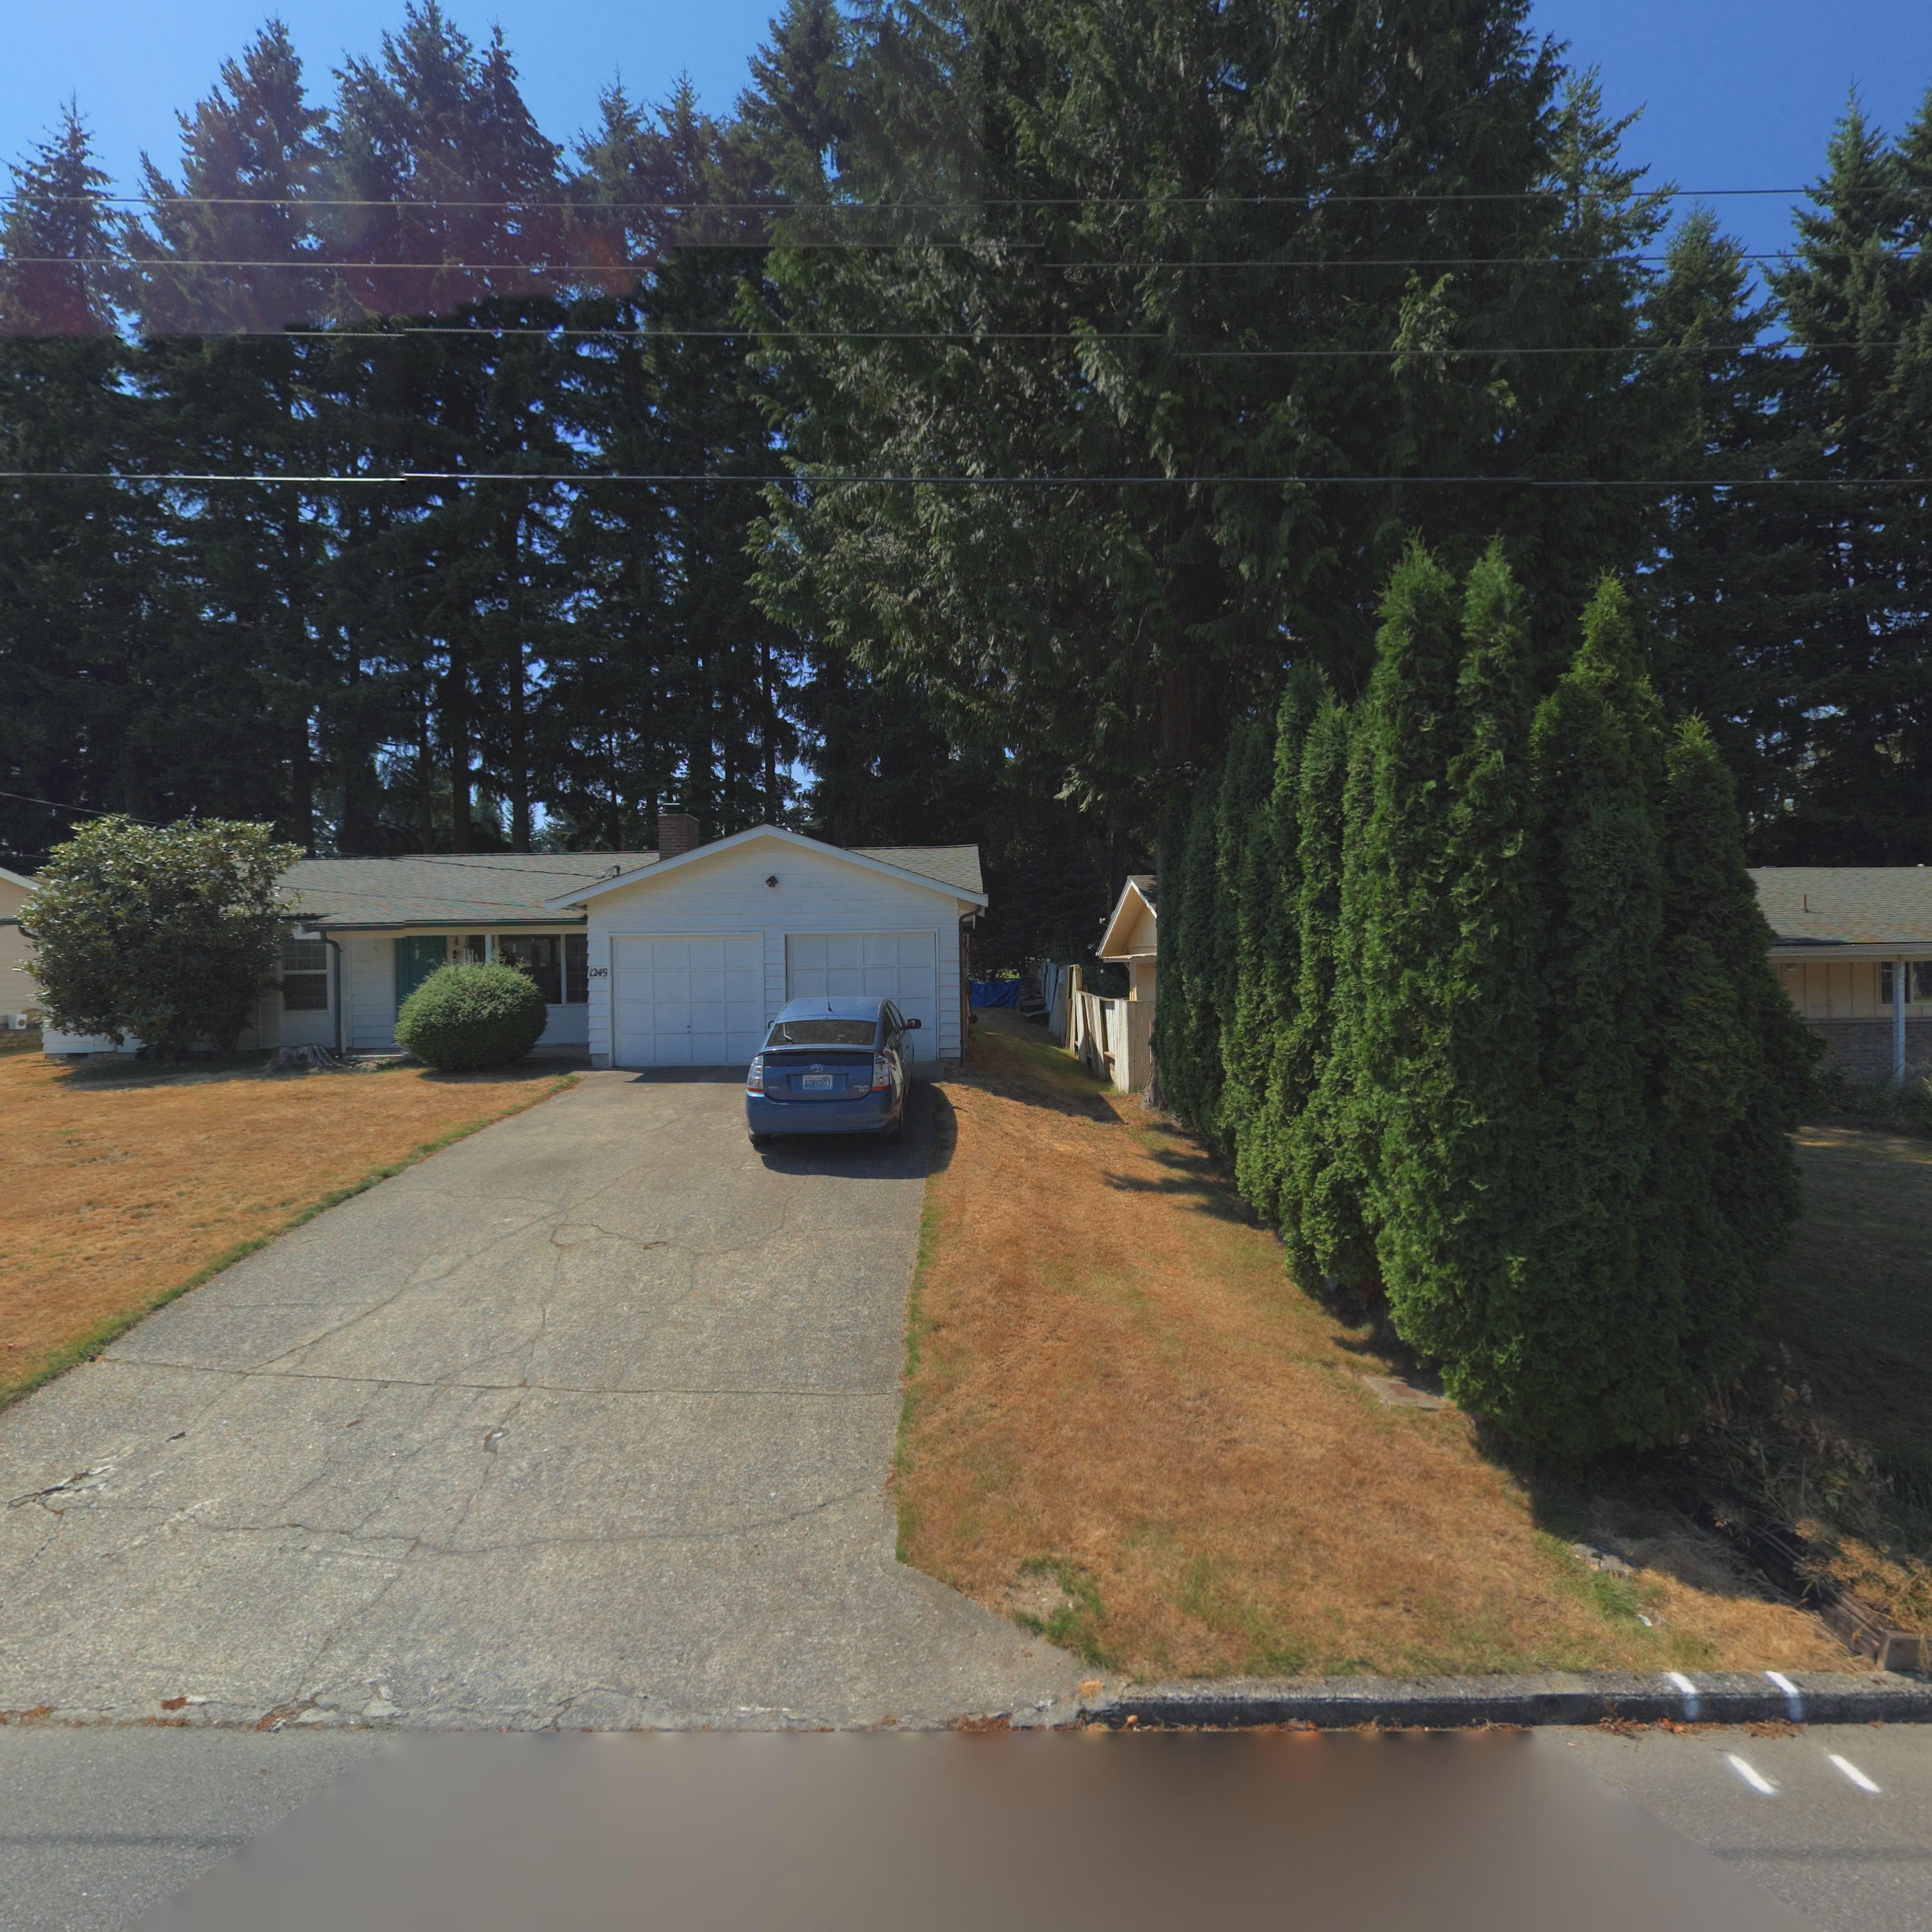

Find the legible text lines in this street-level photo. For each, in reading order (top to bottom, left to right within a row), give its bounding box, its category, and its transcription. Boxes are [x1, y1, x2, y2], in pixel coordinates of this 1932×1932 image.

[589, 967, 608, 977] StreetNumber: 1249